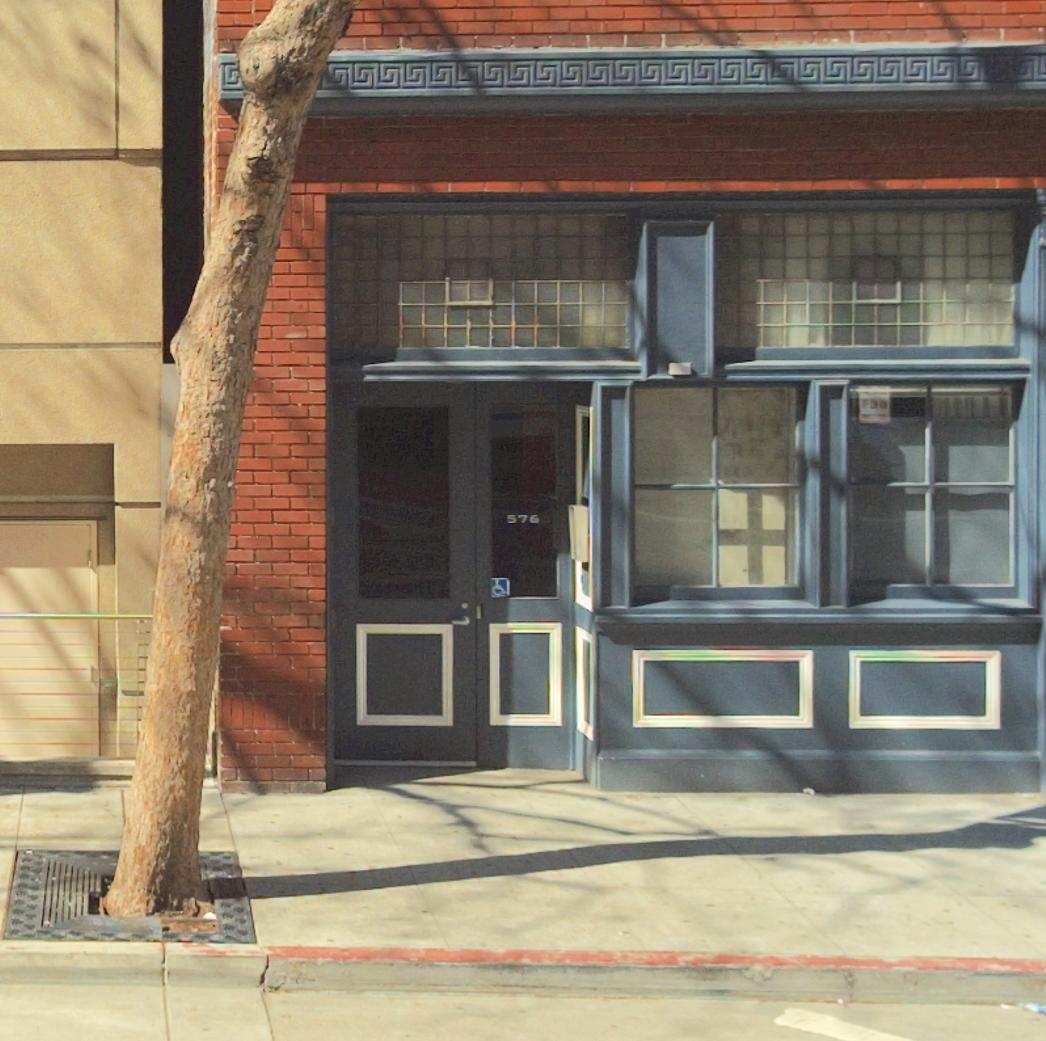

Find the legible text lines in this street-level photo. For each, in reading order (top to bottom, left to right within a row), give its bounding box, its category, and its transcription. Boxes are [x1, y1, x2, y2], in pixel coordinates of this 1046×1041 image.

[505, 511, 542, 527] StreetNumber: 576